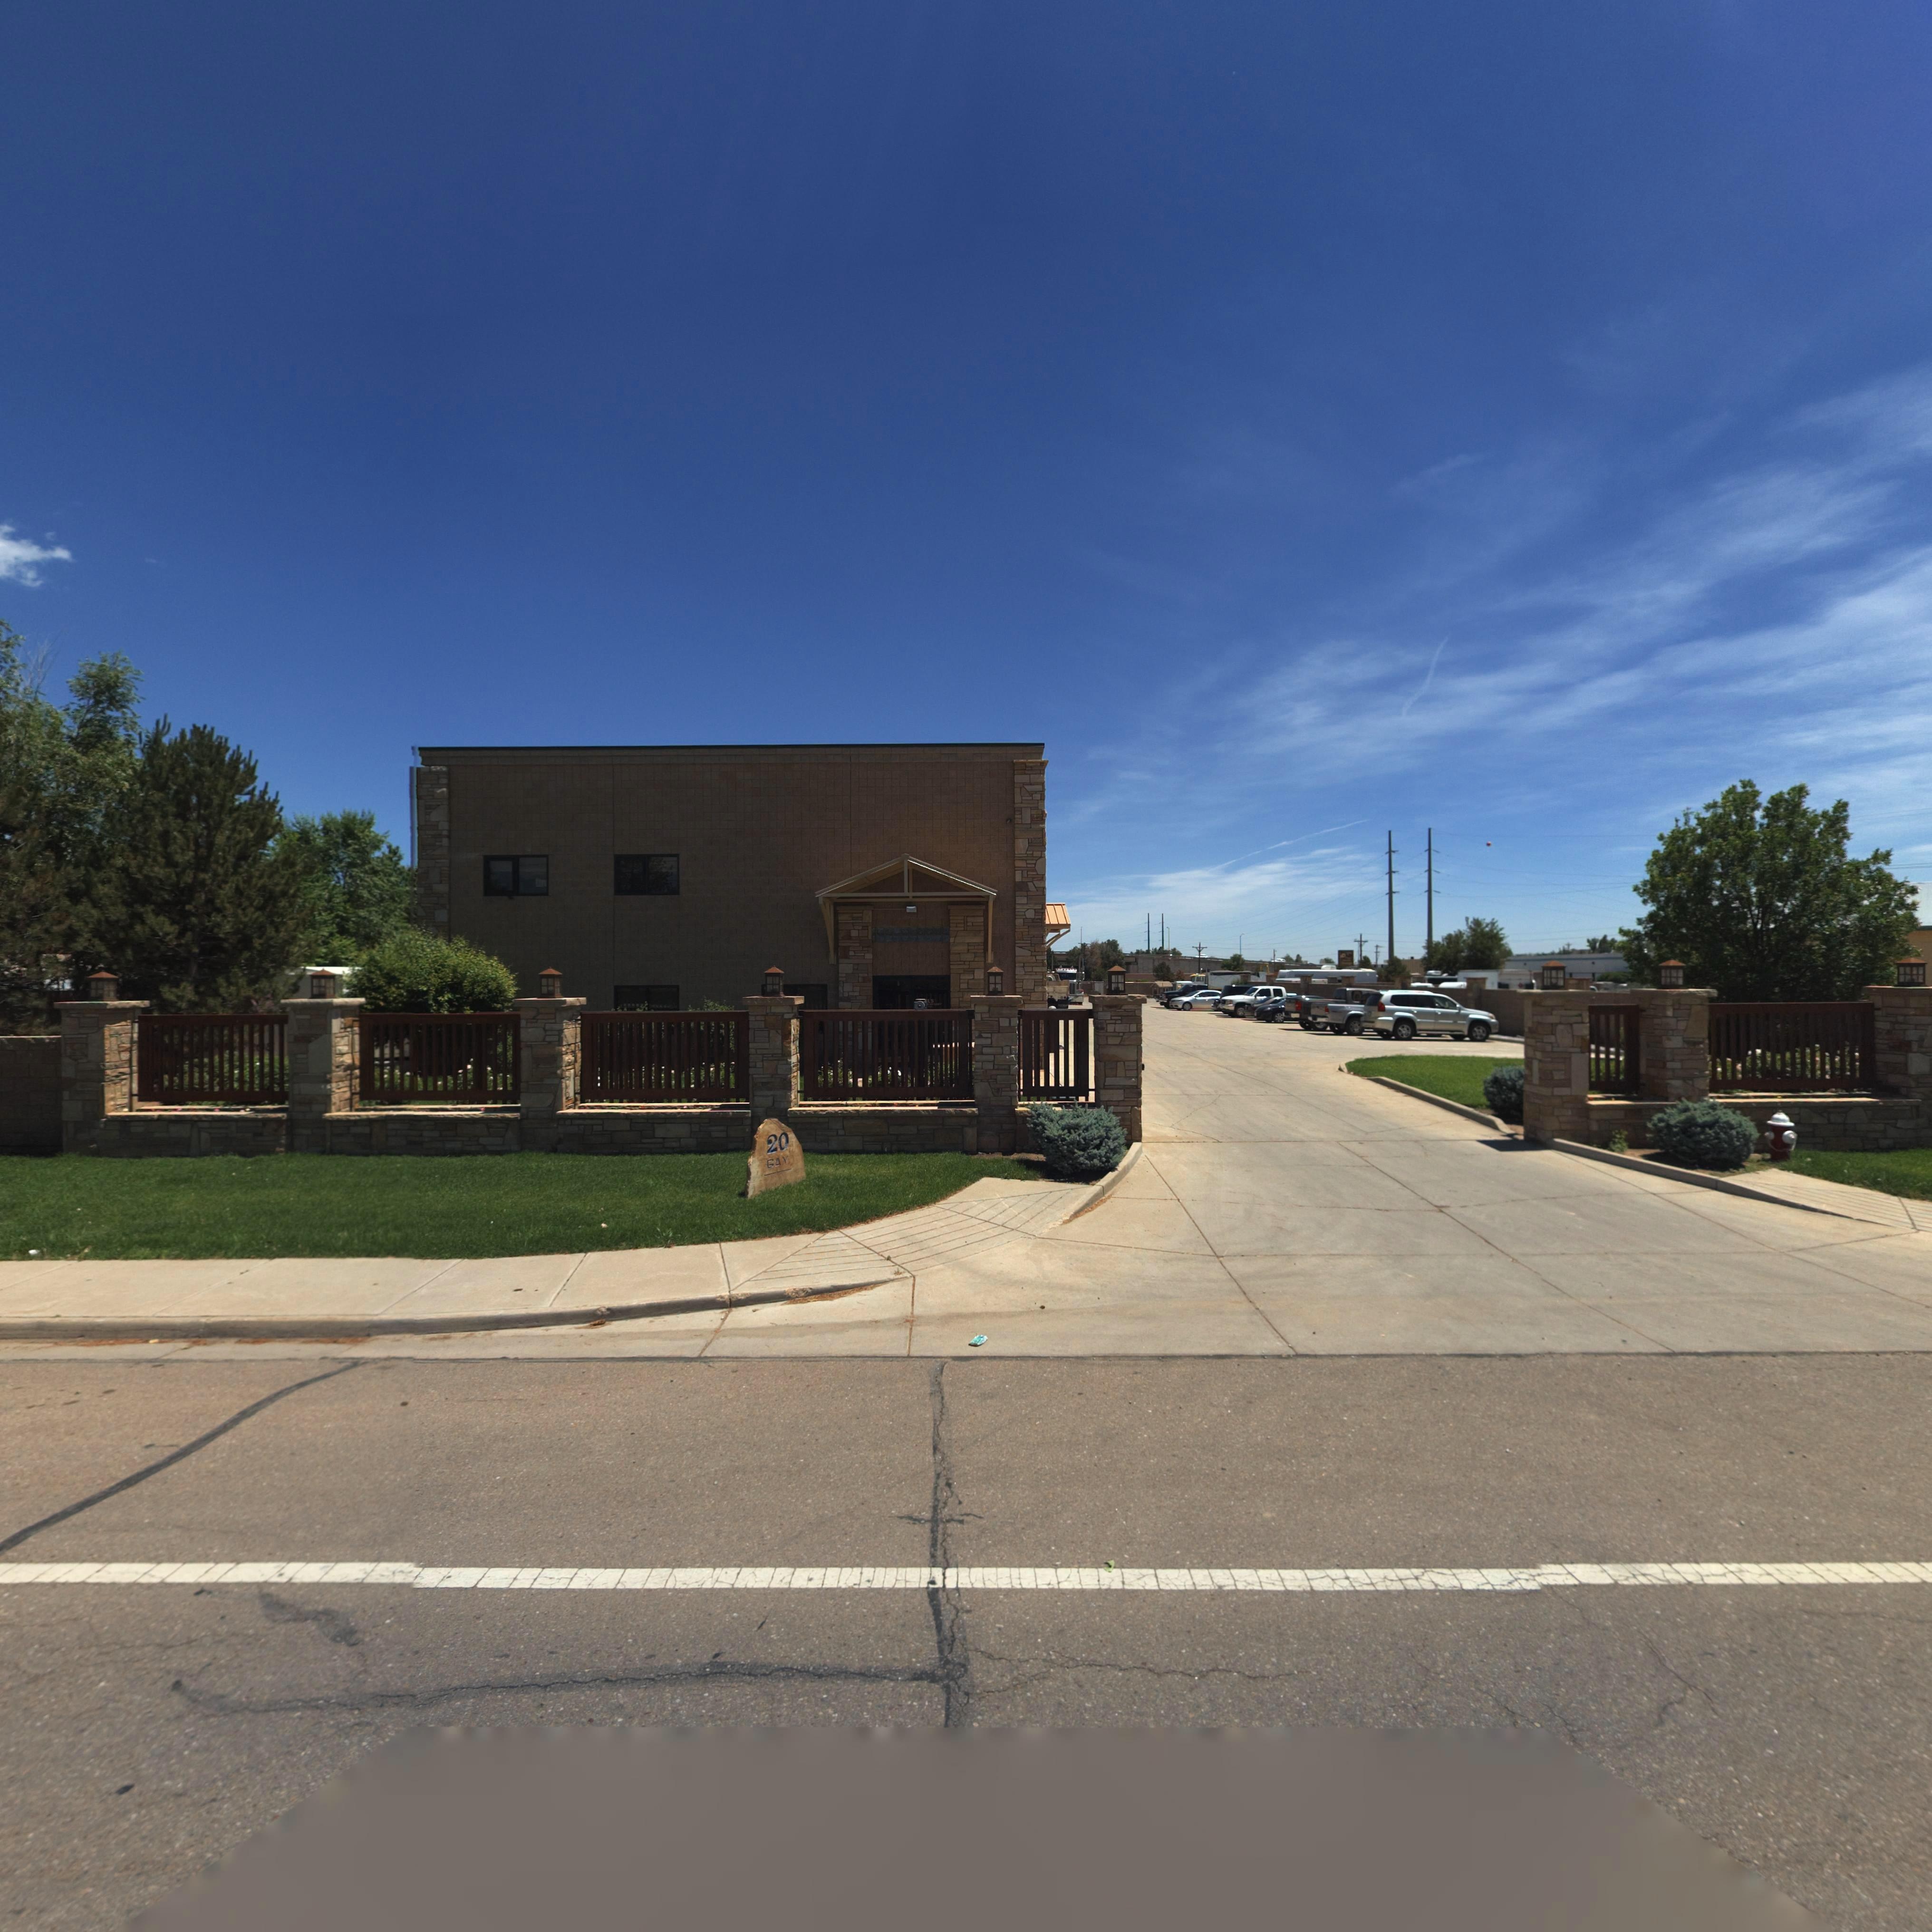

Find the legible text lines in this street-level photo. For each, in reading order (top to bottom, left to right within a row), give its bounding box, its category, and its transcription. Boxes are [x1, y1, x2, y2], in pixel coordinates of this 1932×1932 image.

[766, 1131, 789, 1153] StreetNumber: 20
[766, 1155, 788, 1168] StreetName: GAY